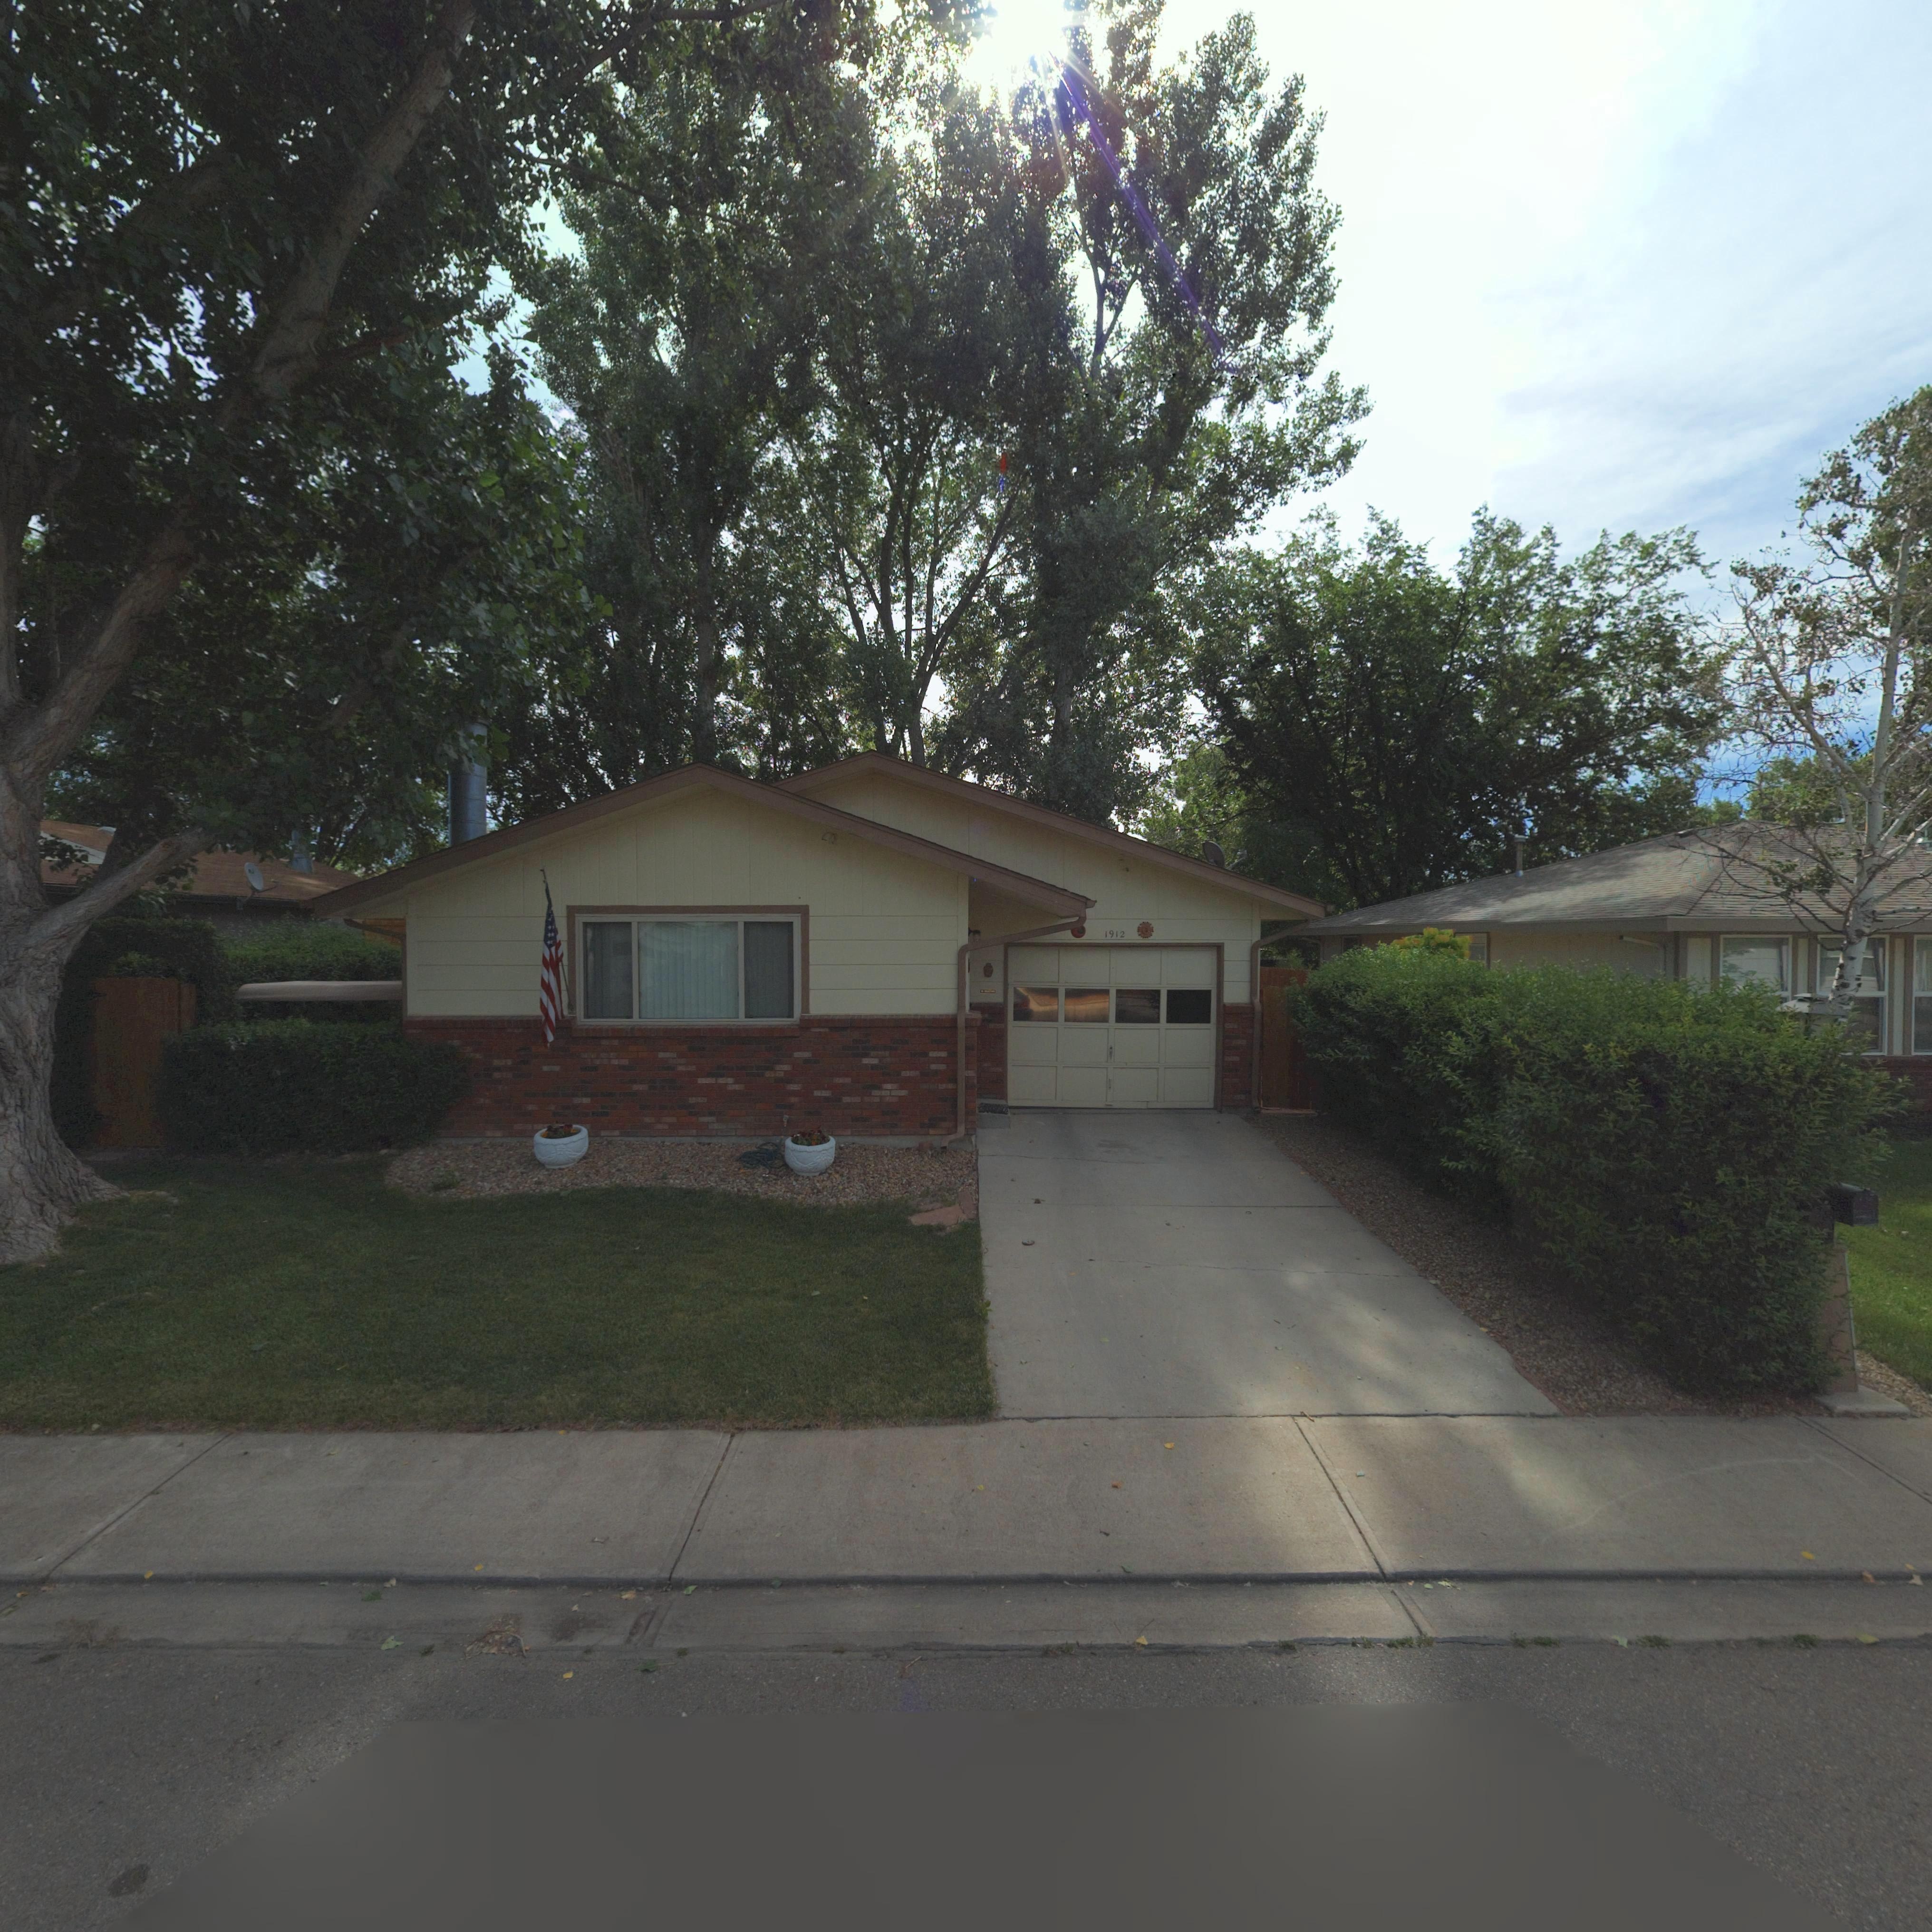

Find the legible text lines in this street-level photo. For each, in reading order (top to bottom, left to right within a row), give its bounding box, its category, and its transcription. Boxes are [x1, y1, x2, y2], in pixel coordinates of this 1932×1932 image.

[1104, 929, 1125, 938] StreetNumber: 1912